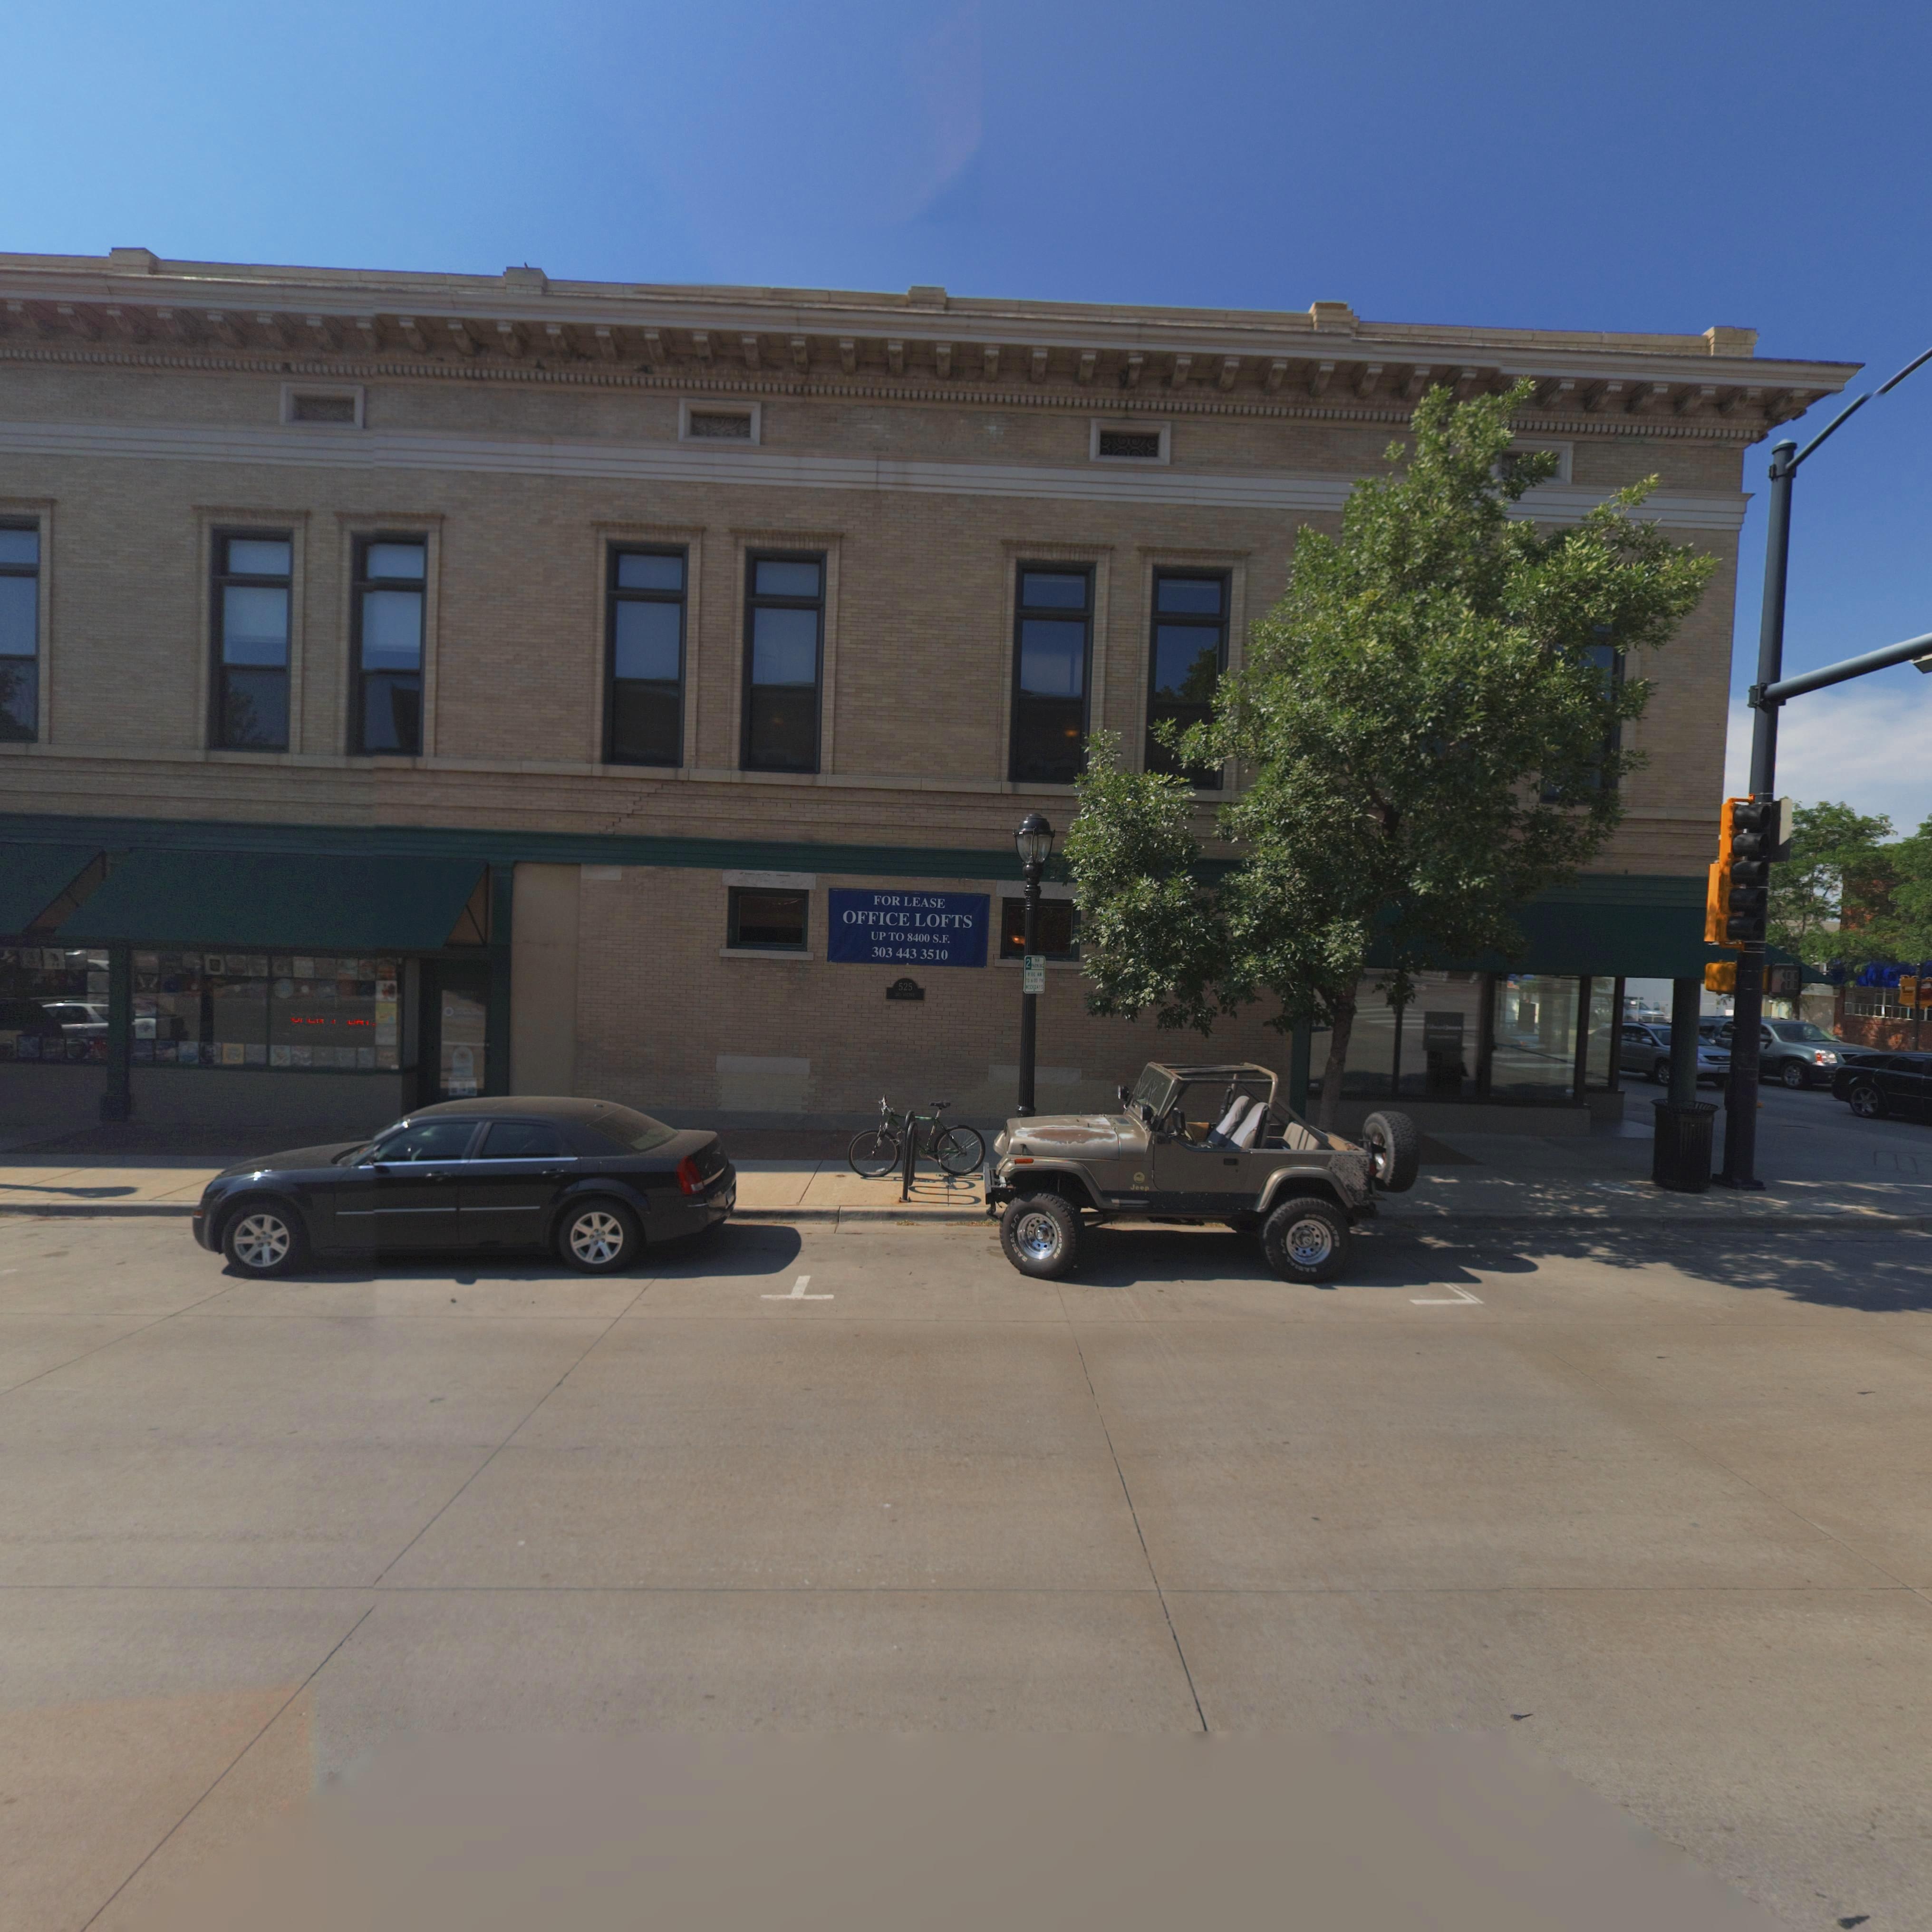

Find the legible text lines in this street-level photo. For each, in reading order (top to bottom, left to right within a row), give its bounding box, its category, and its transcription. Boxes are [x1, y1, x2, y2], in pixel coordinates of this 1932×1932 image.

[898, 981, 912, 991] StreetNumber: 525